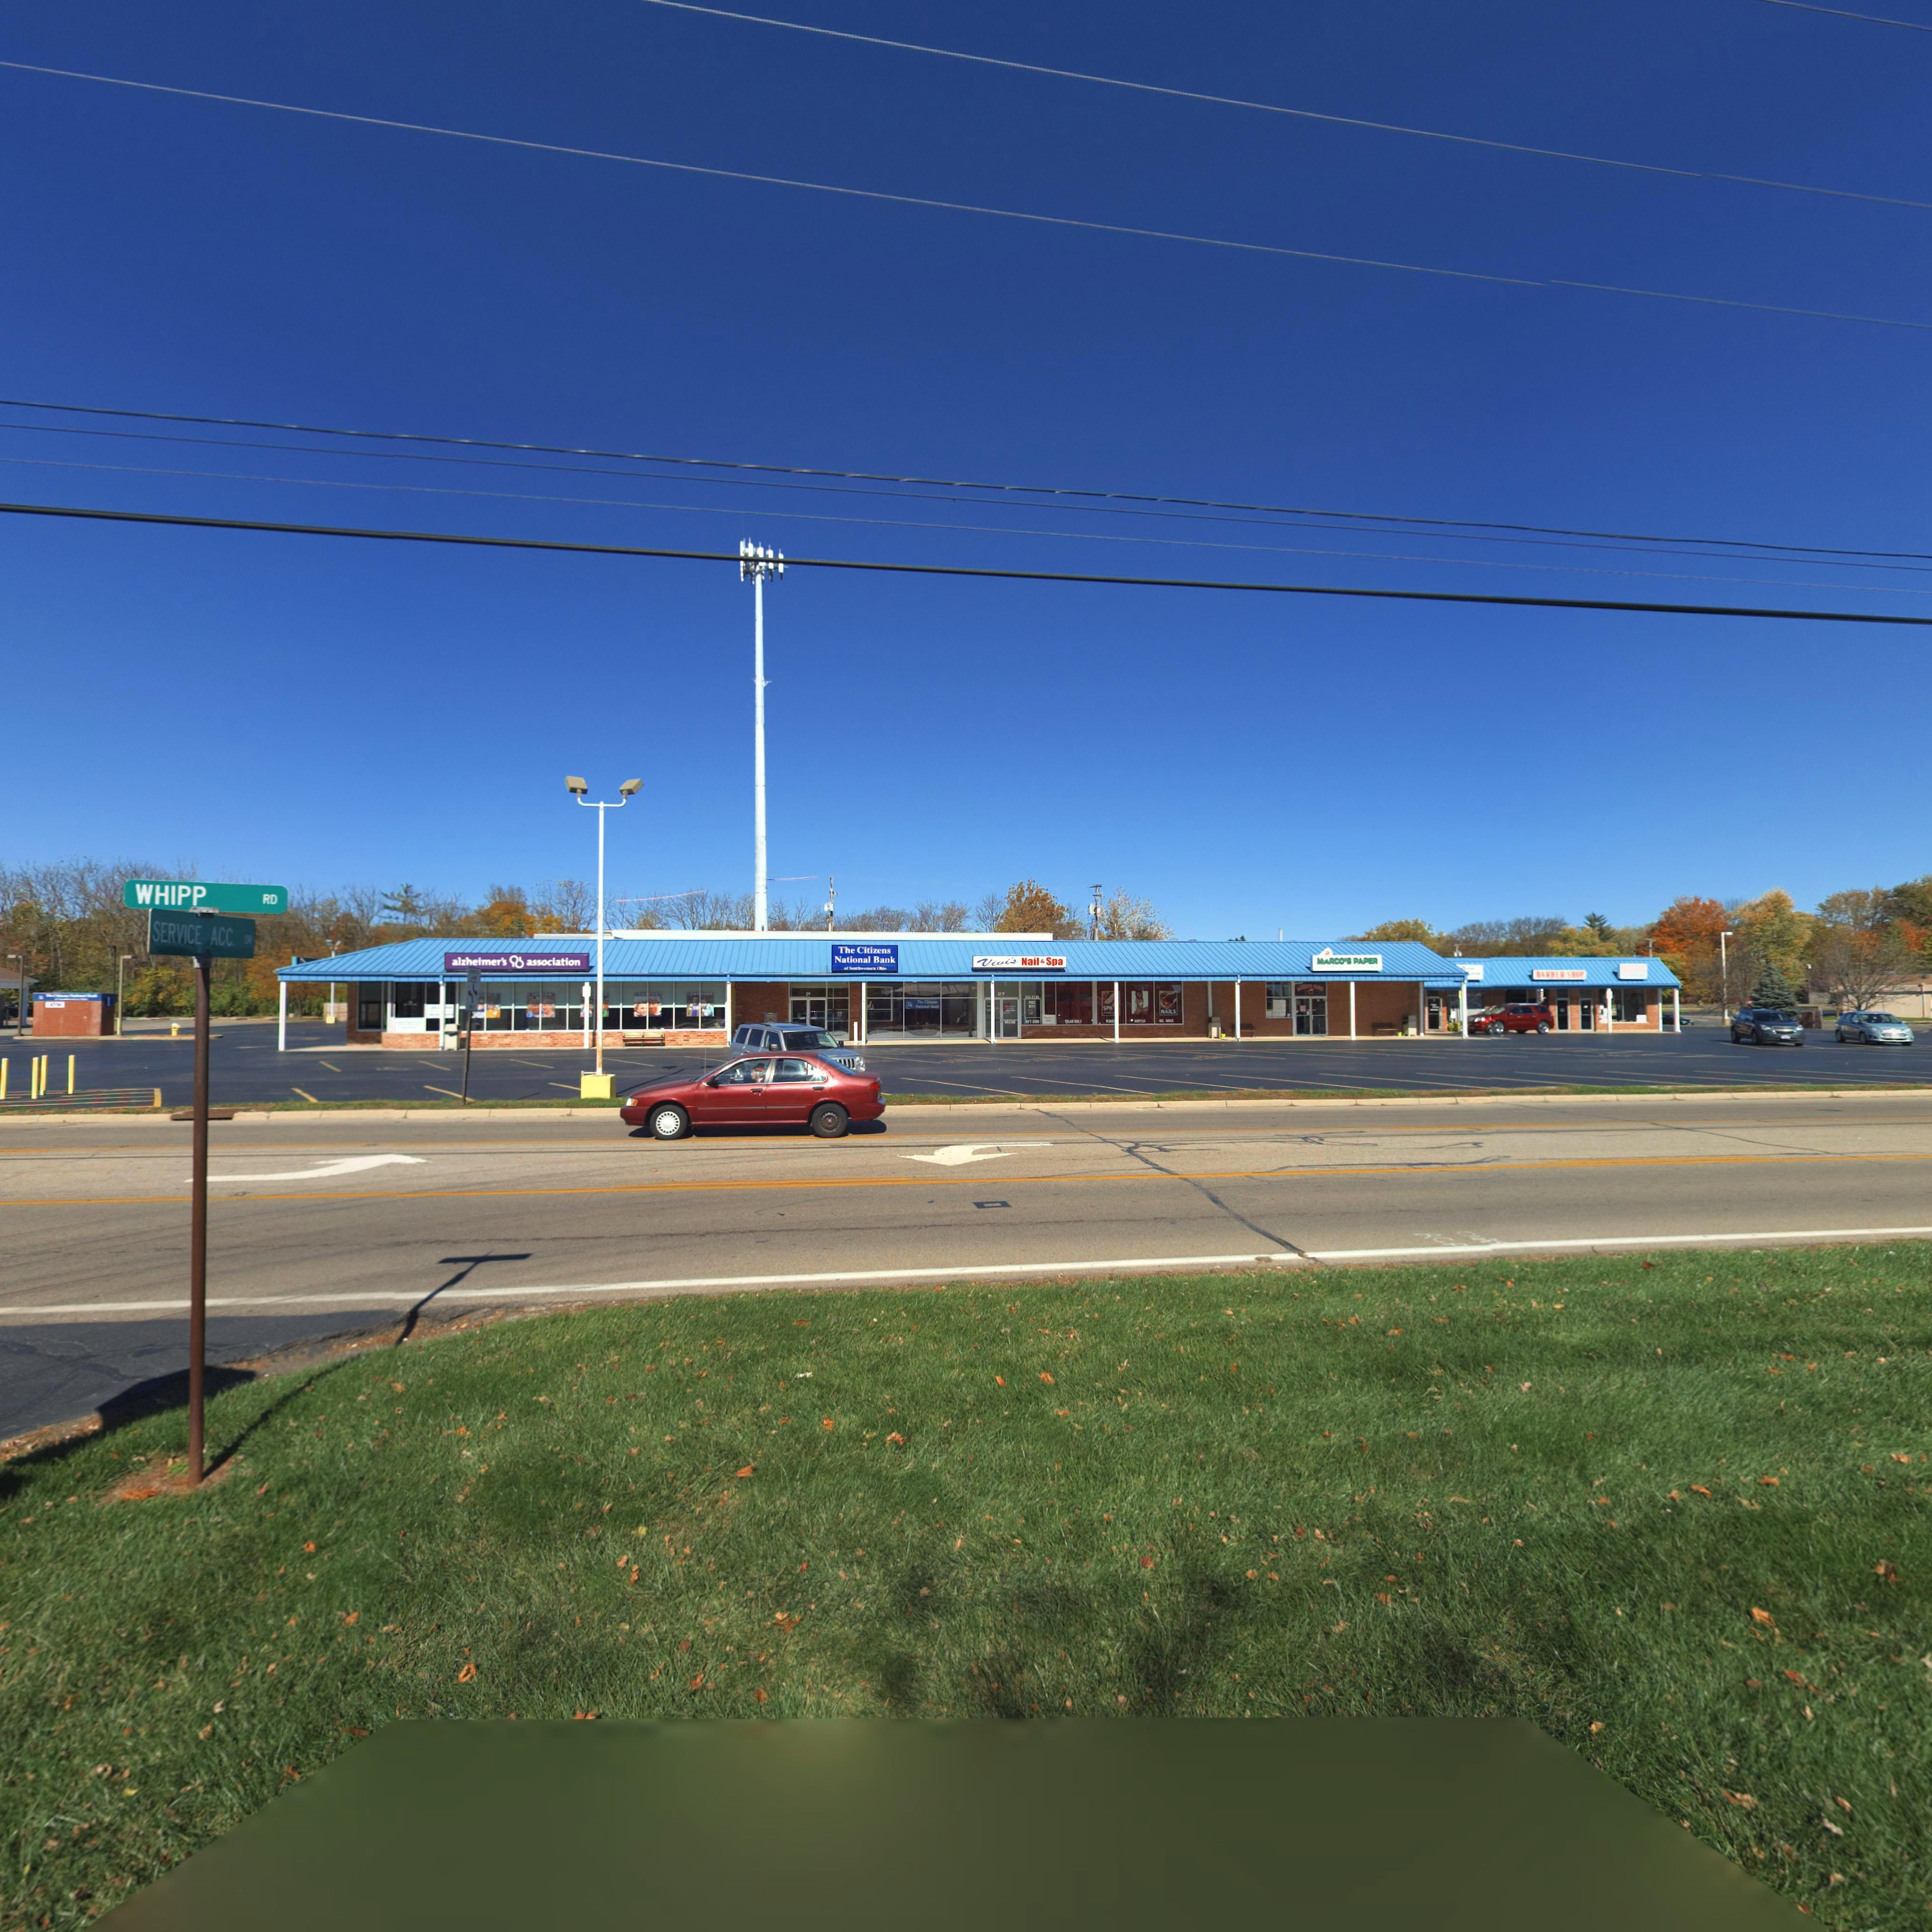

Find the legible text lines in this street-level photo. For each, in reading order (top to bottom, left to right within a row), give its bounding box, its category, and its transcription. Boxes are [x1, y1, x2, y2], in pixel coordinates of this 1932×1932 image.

[134, 881, 279, 907] StreetName: WHIPP RD
[150, 919, 254, 949] StreetName: SERVICE ACC. DR
[837, 946, 891, 955] BusinessName: The Citizens
[451, 956, 581, 967] BusinessName: alzheimer's * association
[833, 955, 897, 964] BusinessName: National Bank
[976, 956, 1063, 967] BusinessName: Vivi's Nail & Spa
[1316, 957, 1379, 965] BusinessName: MARCO'S PAPER
[1536, 970, 1584, 979] BusinessName: BARBER SHOP
[997, 991, 1006, 997] StreetNumber: 27
[1102, 1005, 1114, 1011] None: SPA
[1160, 1009, 1177, 1014] None: NAILS